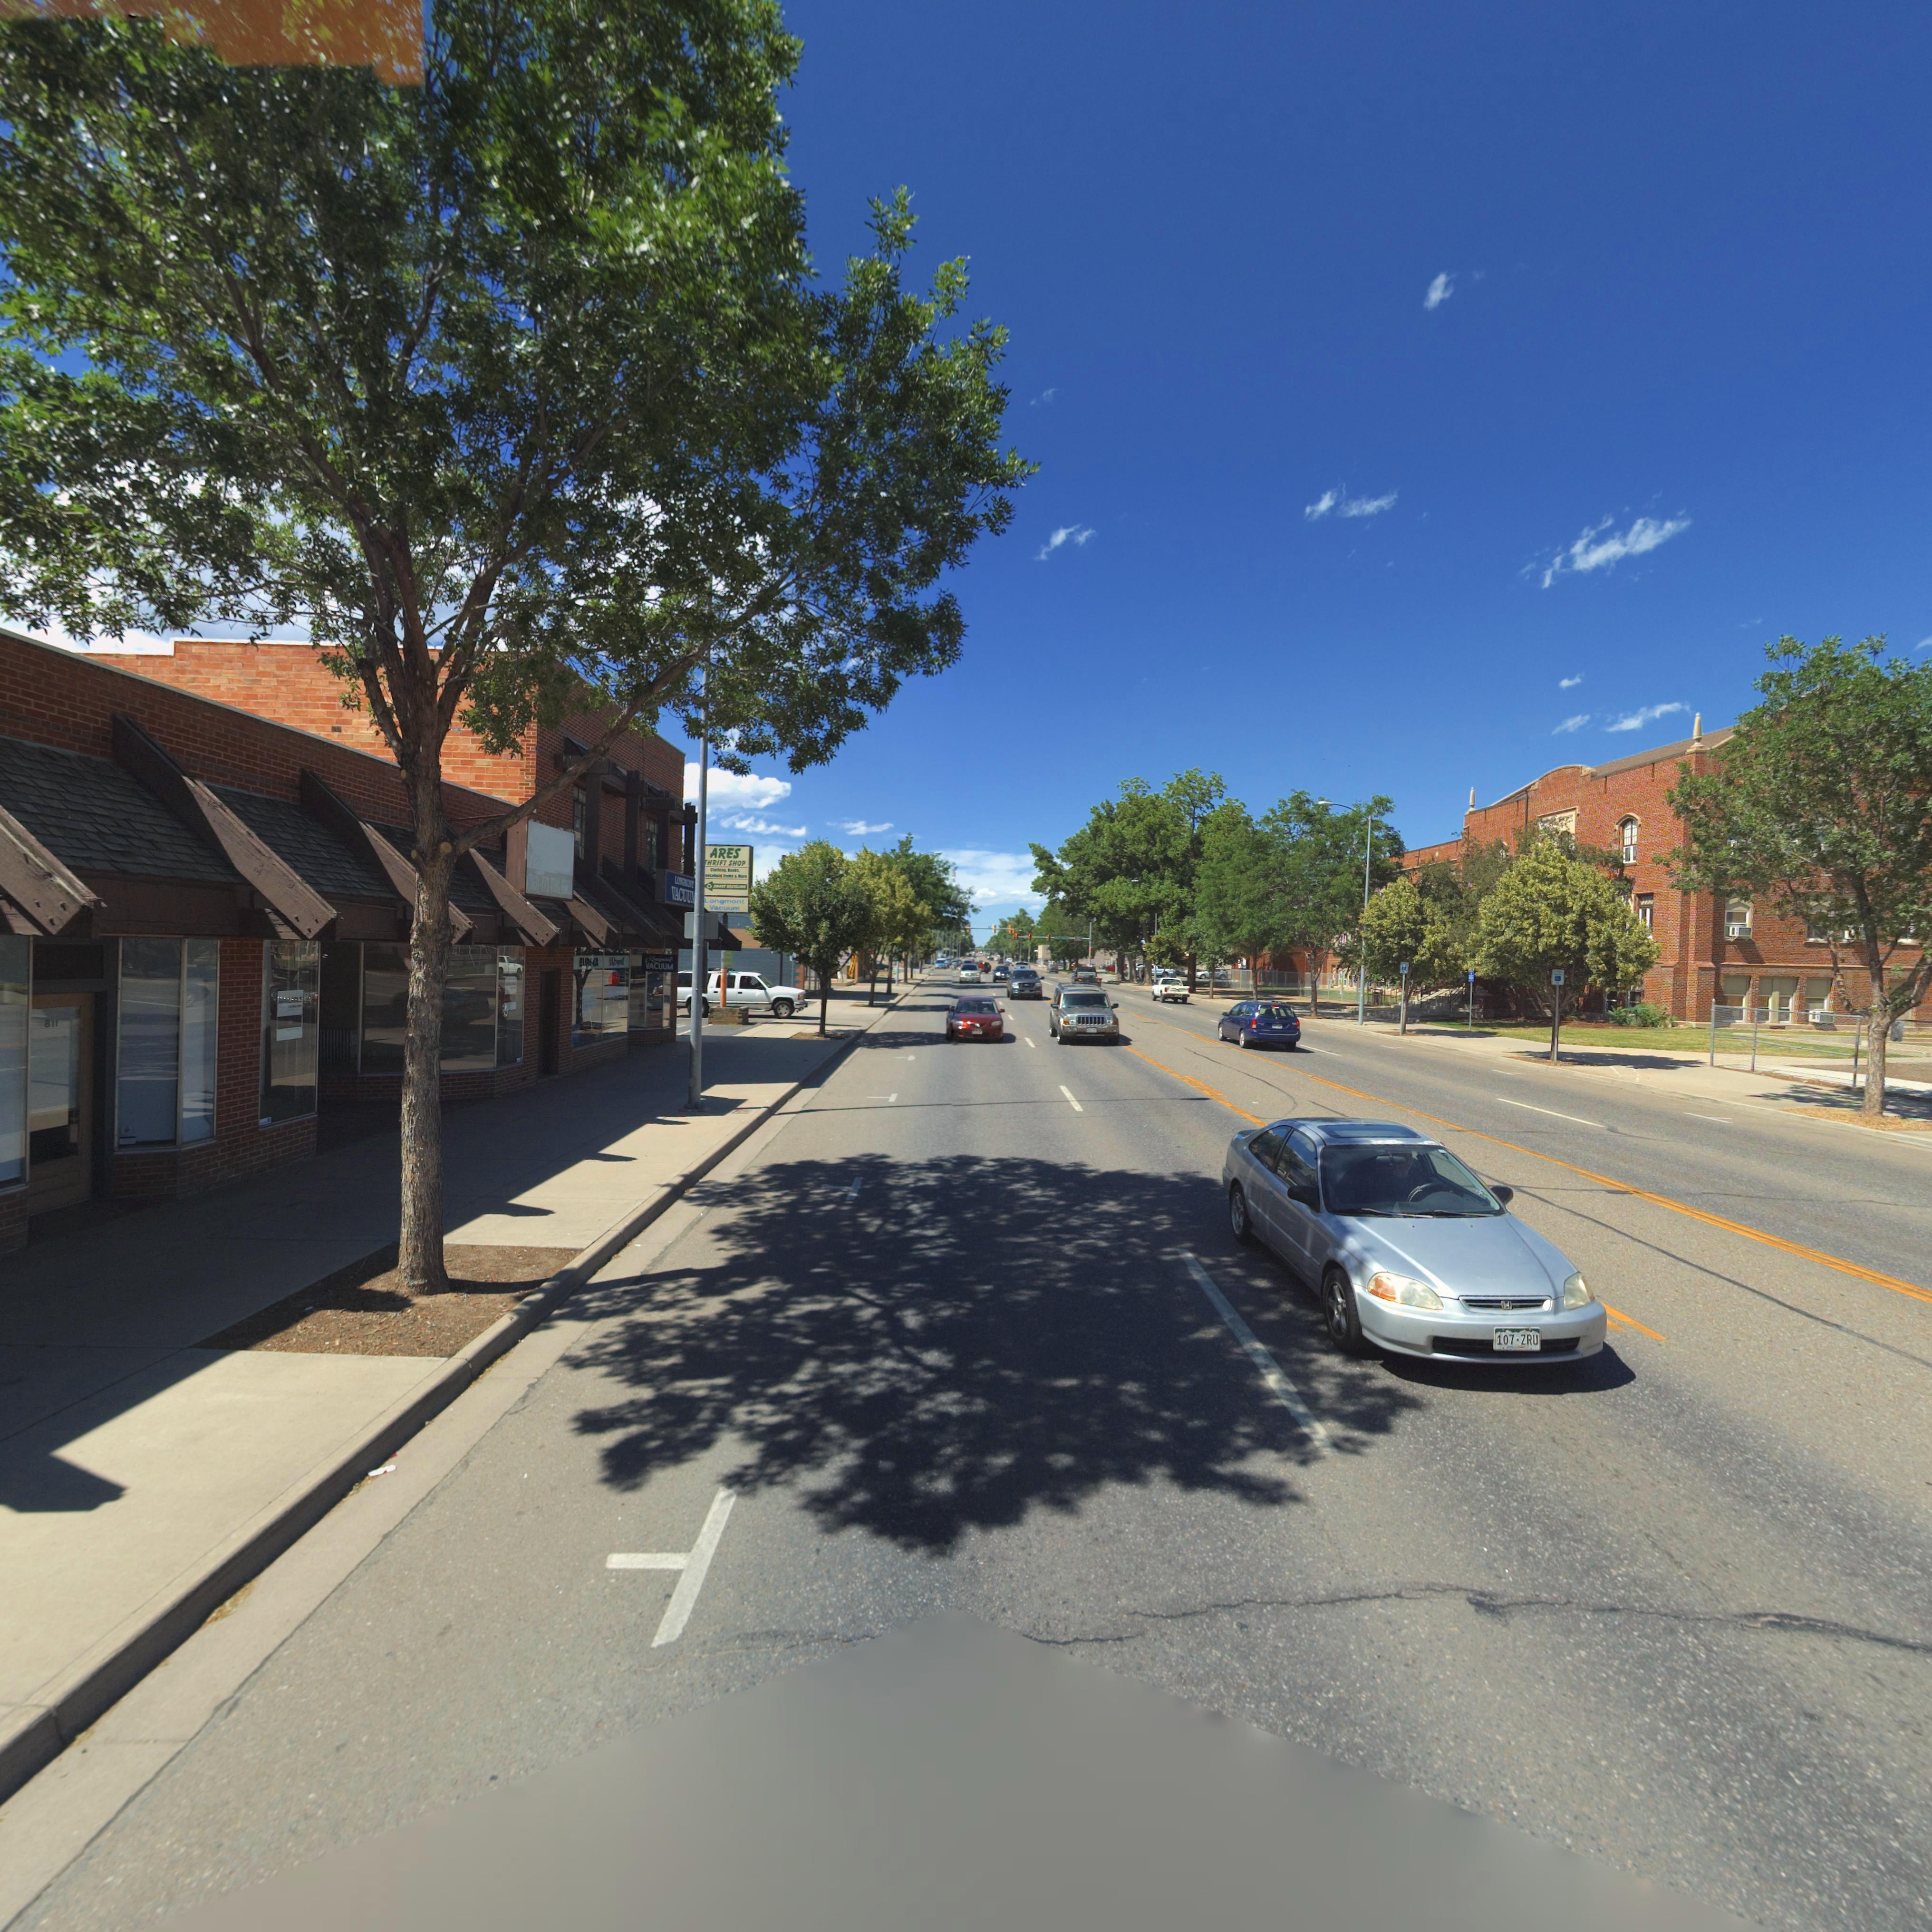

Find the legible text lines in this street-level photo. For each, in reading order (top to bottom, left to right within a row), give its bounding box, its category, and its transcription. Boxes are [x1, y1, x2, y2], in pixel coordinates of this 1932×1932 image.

[709, 847, 741, 860] BusinessName: ARES
[704, 859, 746, 866] BusinessName: *HRIFT SHOP
[675, 875, 694, 889] BusinessName: LONGMONT
[713, 884, 746, 889] BusinessName: S*A*T R*C*CL***
[671, 885, 695, 904] BusinessName: VACUU*
[704, 898, 744, 905] BusinessName: Longmont
[708, 904, 740, 911] BusinessName: Vacuum
[645, 956, 673, 963] BusinessName: L*******
[645, 962, 674, 970] BusinessName: VACUUM
[44, 1019, 58, 1028] StreetNumber: 811